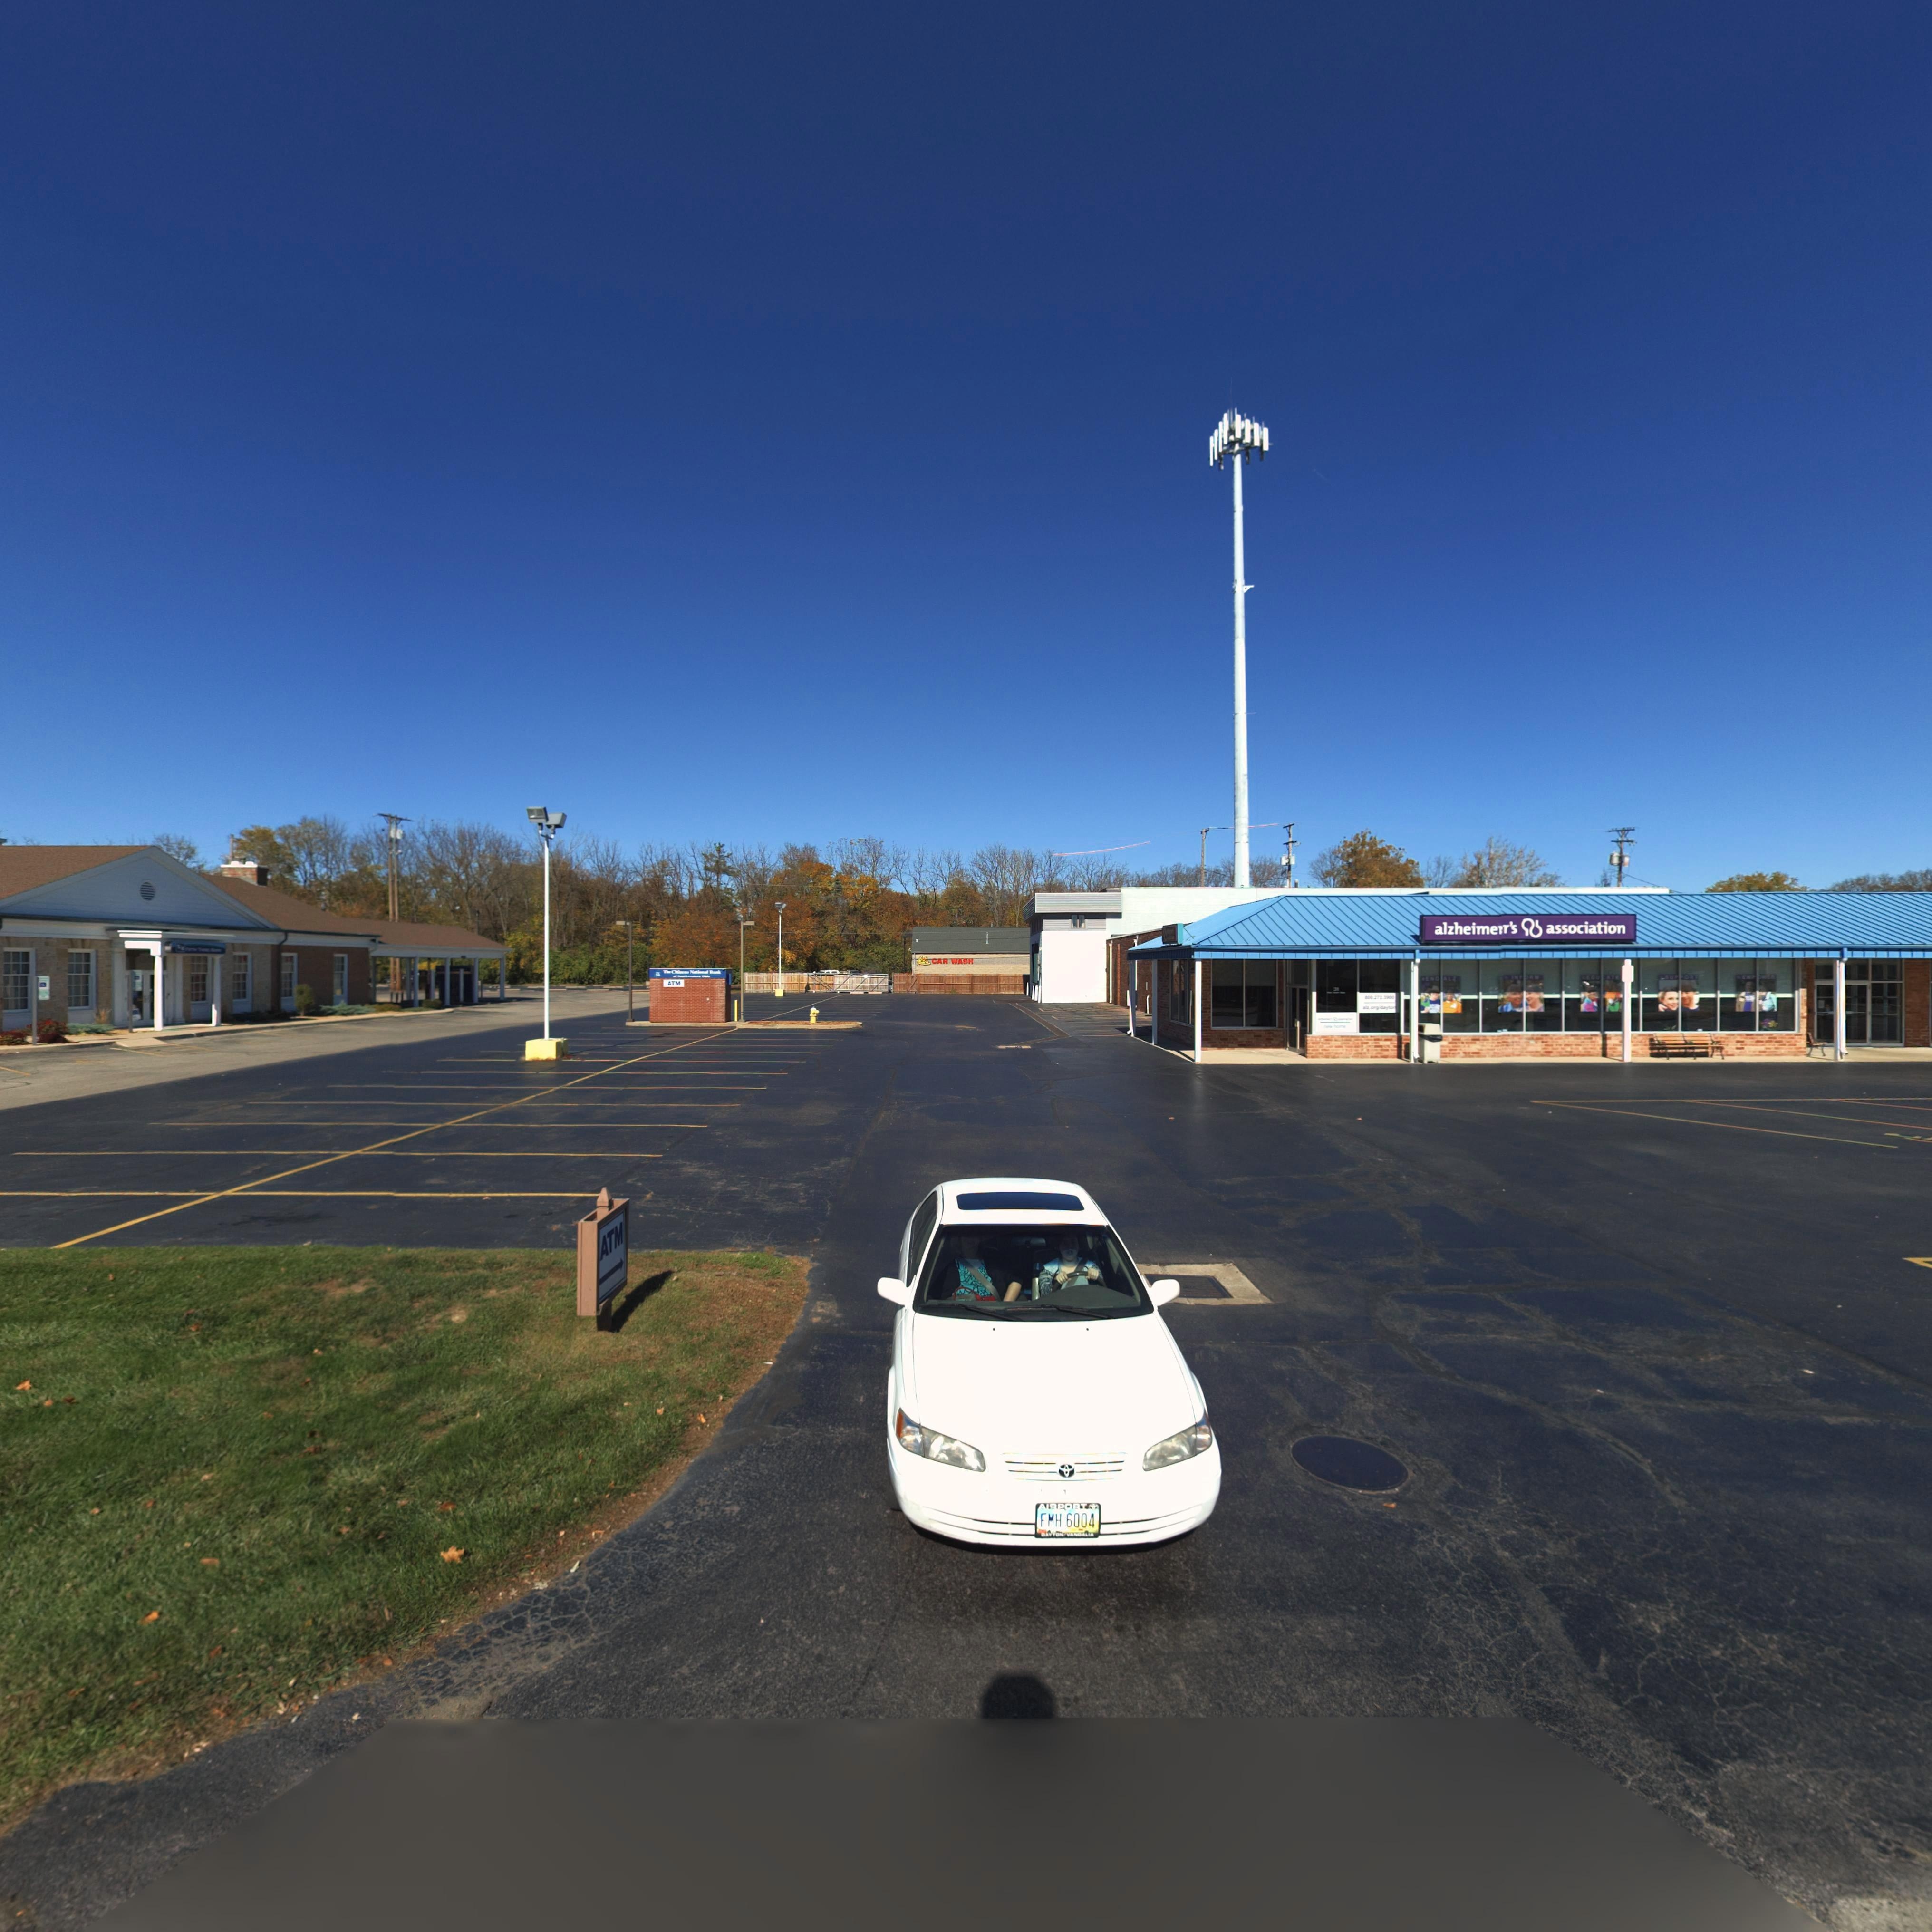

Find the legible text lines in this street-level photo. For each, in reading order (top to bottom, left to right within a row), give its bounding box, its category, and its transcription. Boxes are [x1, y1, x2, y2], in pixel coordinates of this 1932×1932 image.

[1432, 920, 1627, 937] None: alheime*r's * association
[931, 957, 974, 965] None: CAR WASH
[1425, 976, 1457, 982] None: END*ALZ
[1510, 975, 1540, 980] None: INF*RM
[1585, 975, 1620, 981] None: EDU*ATE
[1664, 974, 1700, 980] None: SUPPORT
[667, 981, 681, 986] None: ATM
[1333, 986, 1340, 992] StreetNumber: 31
[1364, 995, 1395, 1000] None: 800 272 3900
[599, 1219, 624, 1263] None: ATM
[1037, 1503, 1088, 1510] None: AIRPORT
[1040, 1512, 1096, 1529] None: FMH*6004
[1040, 1532, 1095, 1538] None: DAYTON/VANDALIA